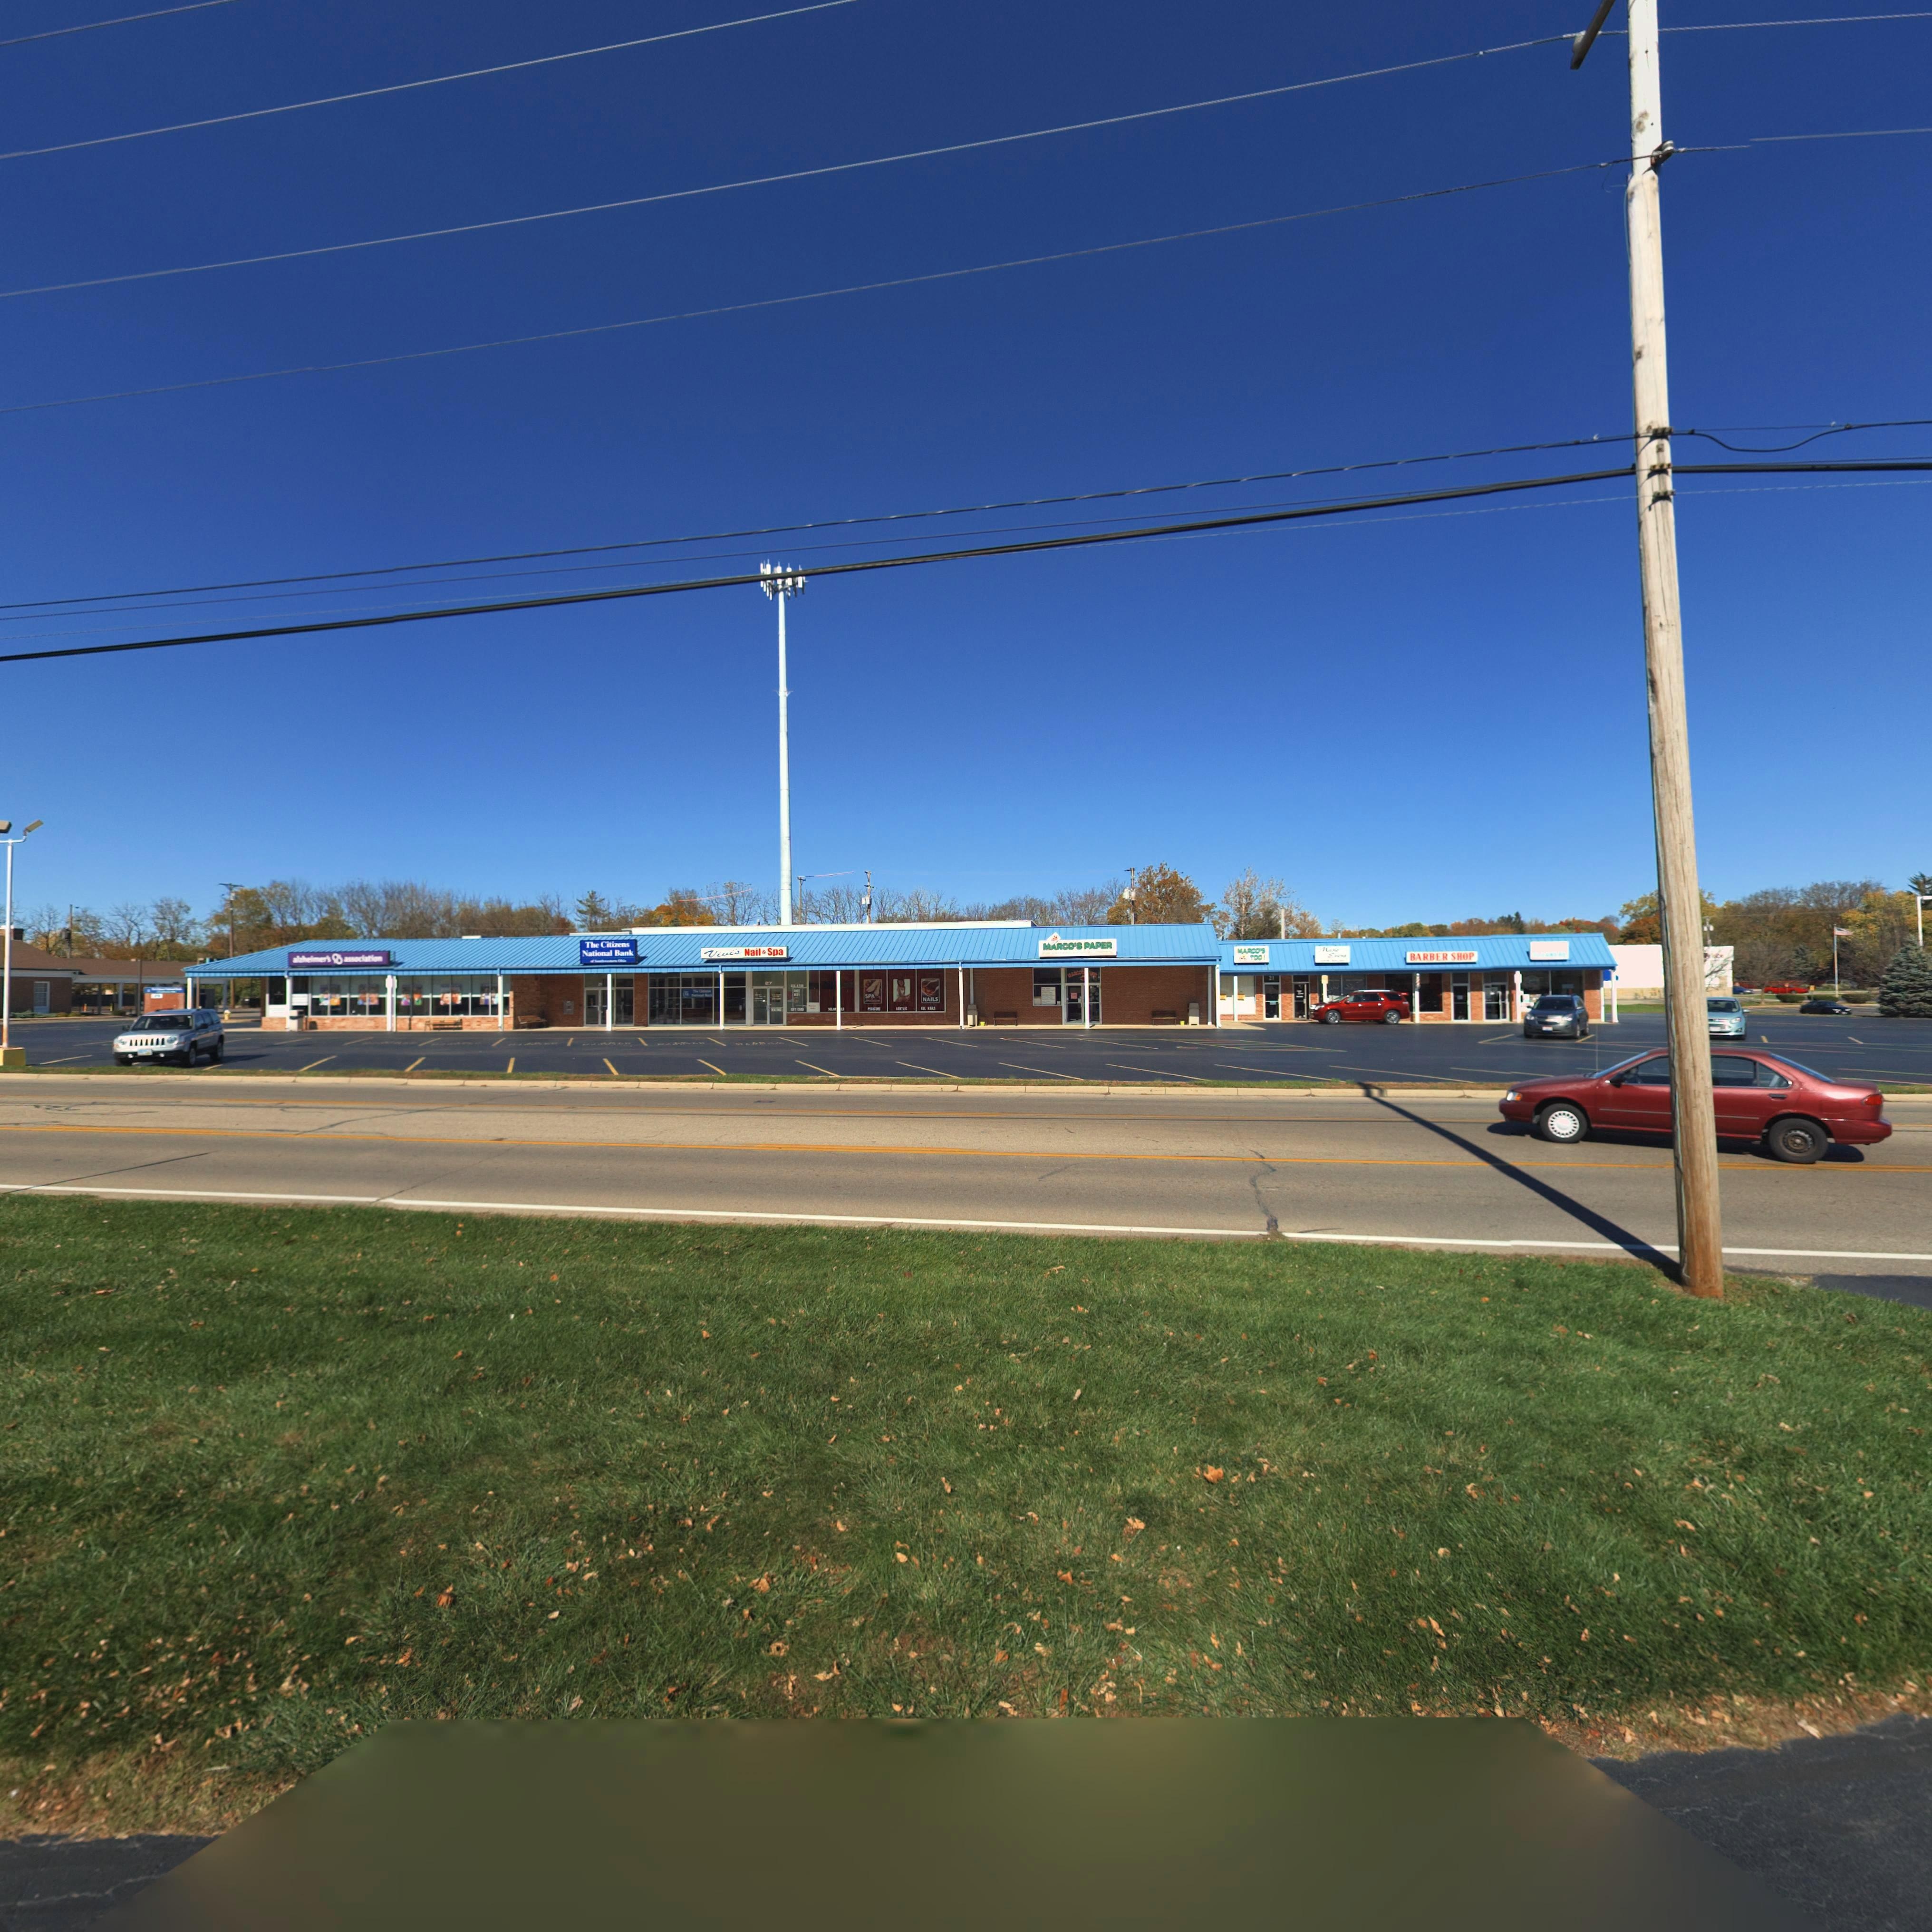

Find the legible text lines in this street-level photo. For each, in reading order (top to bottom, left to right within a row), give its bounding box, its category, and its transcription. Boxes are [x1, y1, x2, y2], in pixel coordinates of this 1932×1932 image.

[584, 940, 630, 949] BusinessName: The Citizens
[581, 949, 634, 957] BusinessName: National Bank
[703, 947, 784, 958] BusinessName: Vivi's Nail & Spa
[1043, 941, 1112, 951] BusinessName: MARCO'S PAPER
[1236, 947, 1266, 955] BusinessName: MARCO'S
[1316, 946, 1328, 953] BusinessName: M
[291, 954, 384, 964] BusinessName: alzheimer's * association
[1249, 955, 1263, 961] BusinessName: TOO
[1409, 952, 1476, 962] BusinessName: BARBER SHOP
[1268, 975, 1275, 981] StreetNumber: 21
[764, 981, 773, 985] StreetNumber: *7
[865, 994, 876, 999] None: SPA
[922, 996, 939, 1002] BusinessName: NAILS